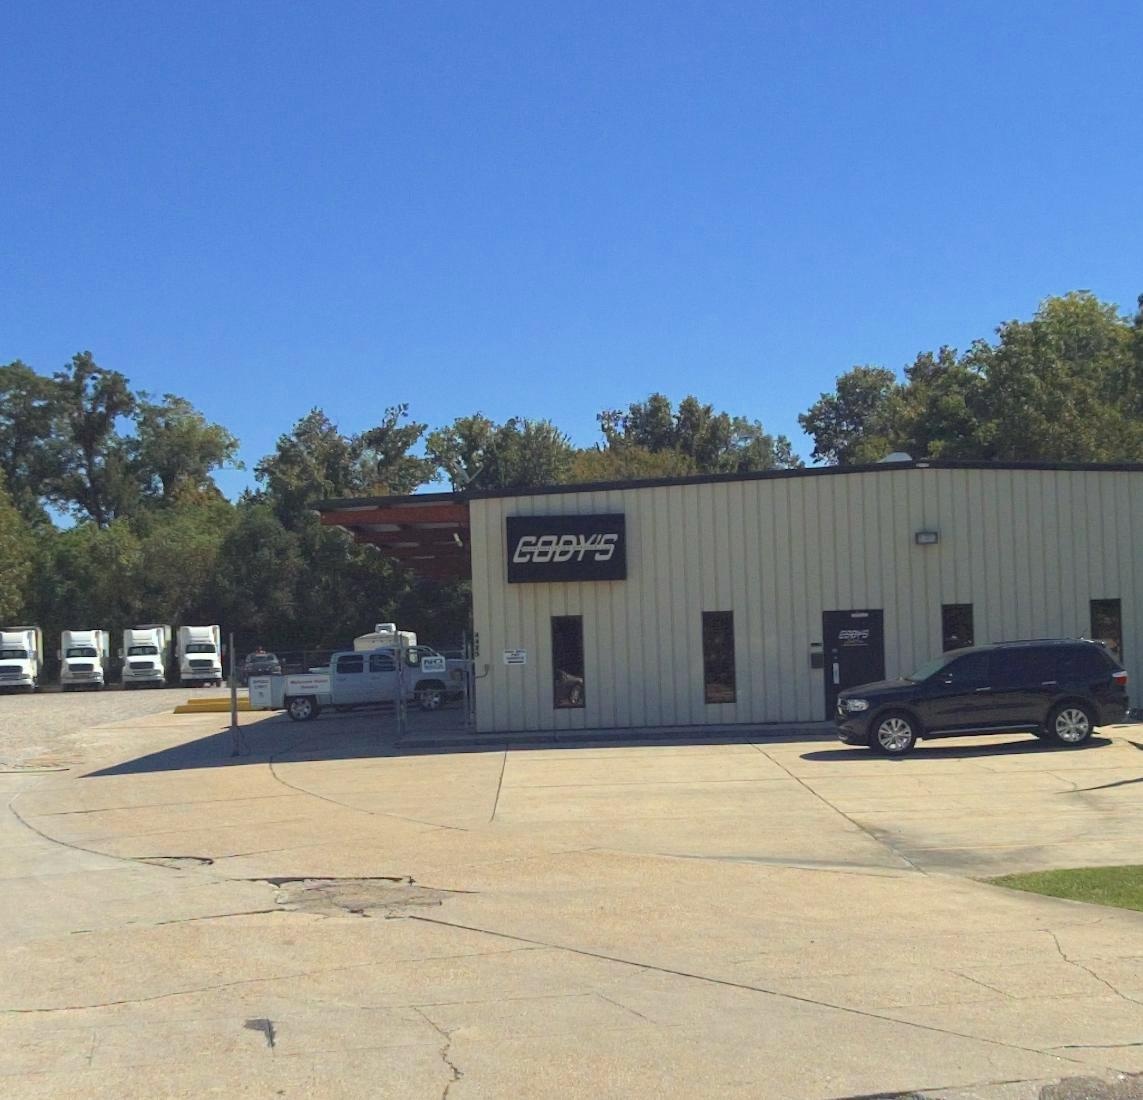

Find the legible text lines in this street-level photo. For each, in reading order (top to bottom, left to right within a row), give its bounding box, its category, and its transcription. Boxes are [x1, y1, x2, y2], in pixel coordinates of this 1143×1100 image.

[510, 532, 623, 565] BusinessName: CODY'S
[834, 627, 873, 641] BusinessName: CODY'S
[422, 656, 445, 666] None: NO